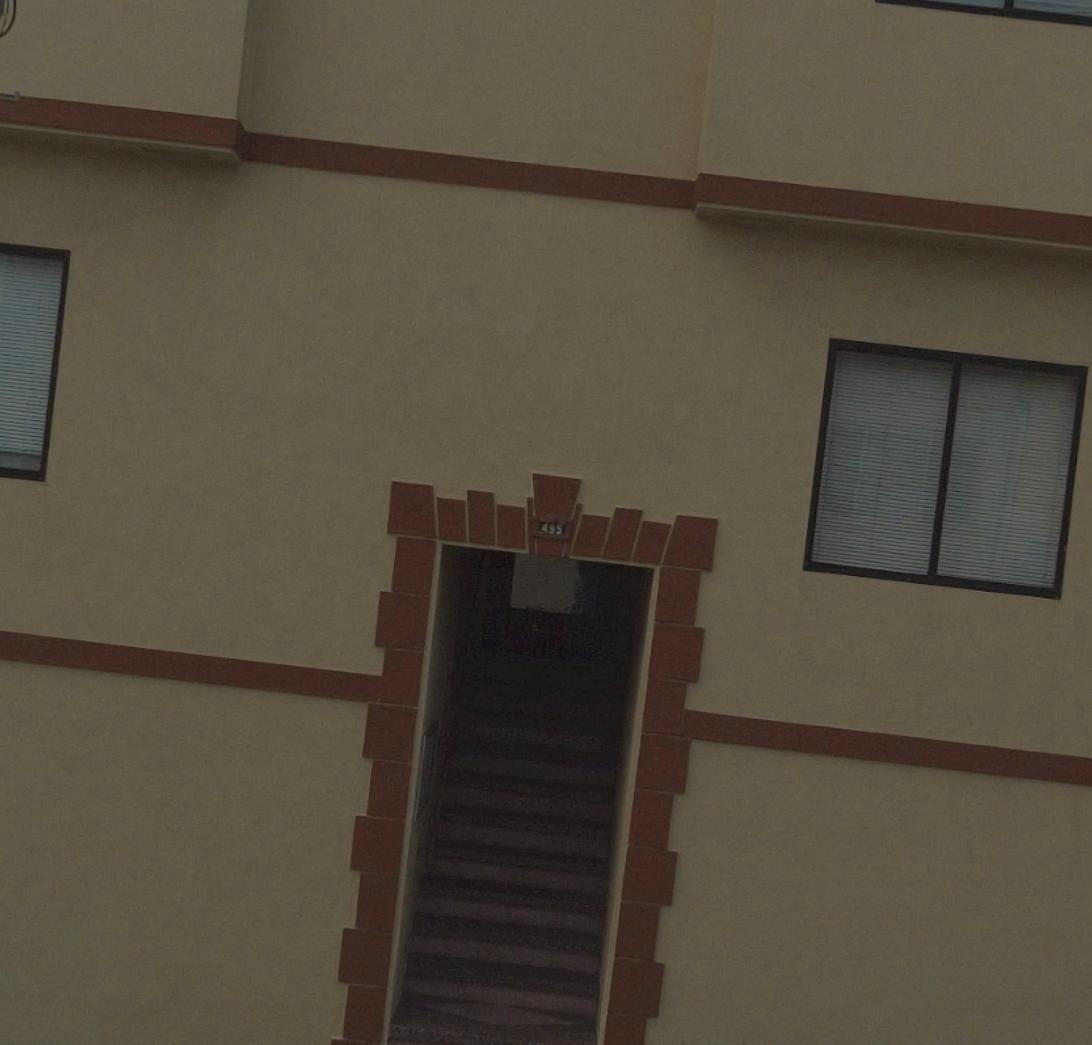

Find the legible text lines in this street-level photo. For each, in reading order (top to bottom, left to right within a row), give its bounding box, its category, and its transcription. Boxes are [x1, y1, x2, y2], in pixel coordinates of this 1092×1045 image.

[539, 522, 564, 535] StreetNumber: 495